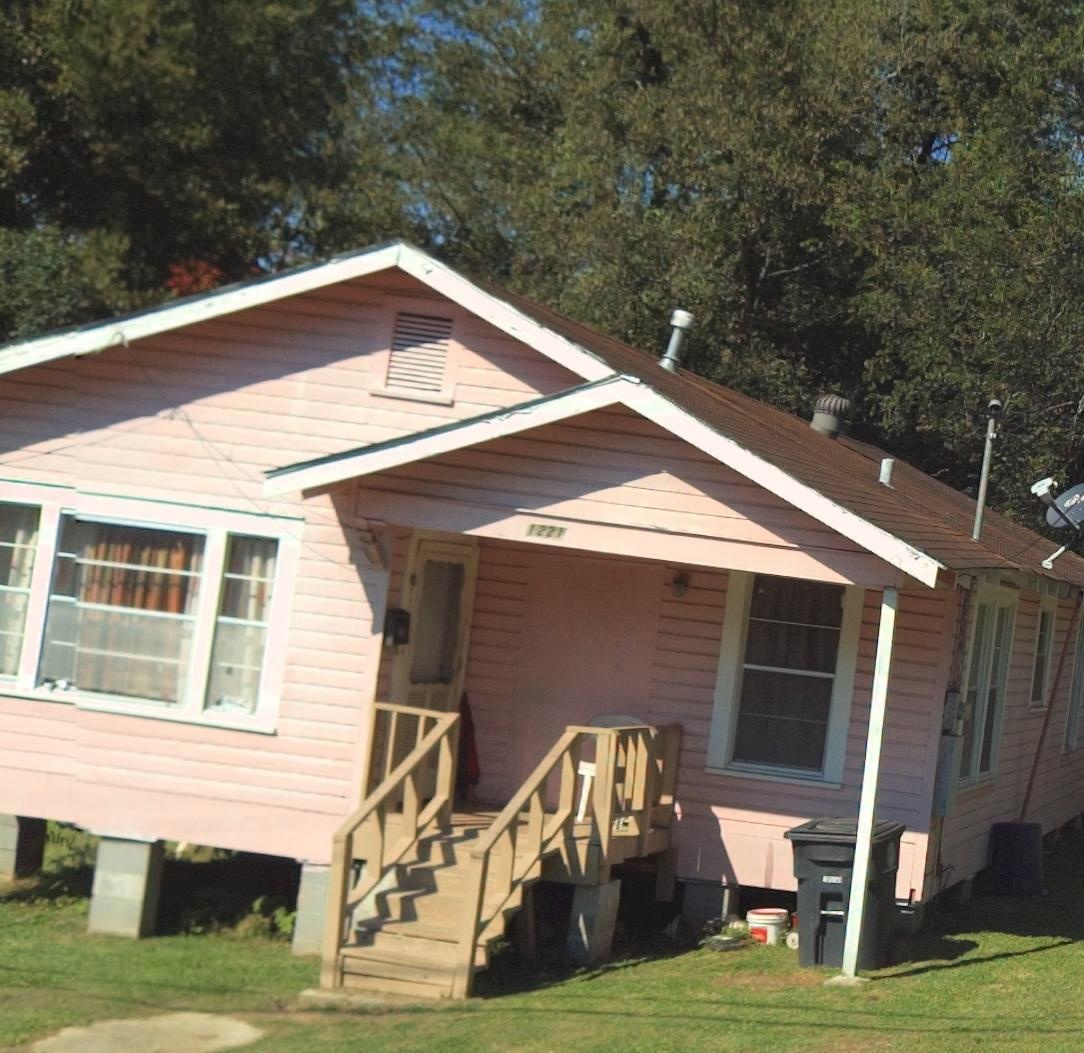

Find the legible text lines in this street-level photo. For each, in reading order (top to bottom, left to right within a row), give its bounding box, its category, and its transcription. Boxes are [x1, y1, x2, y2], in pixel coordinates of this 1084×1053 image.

[522, 521, 570, 542] StreetNumber: 1221